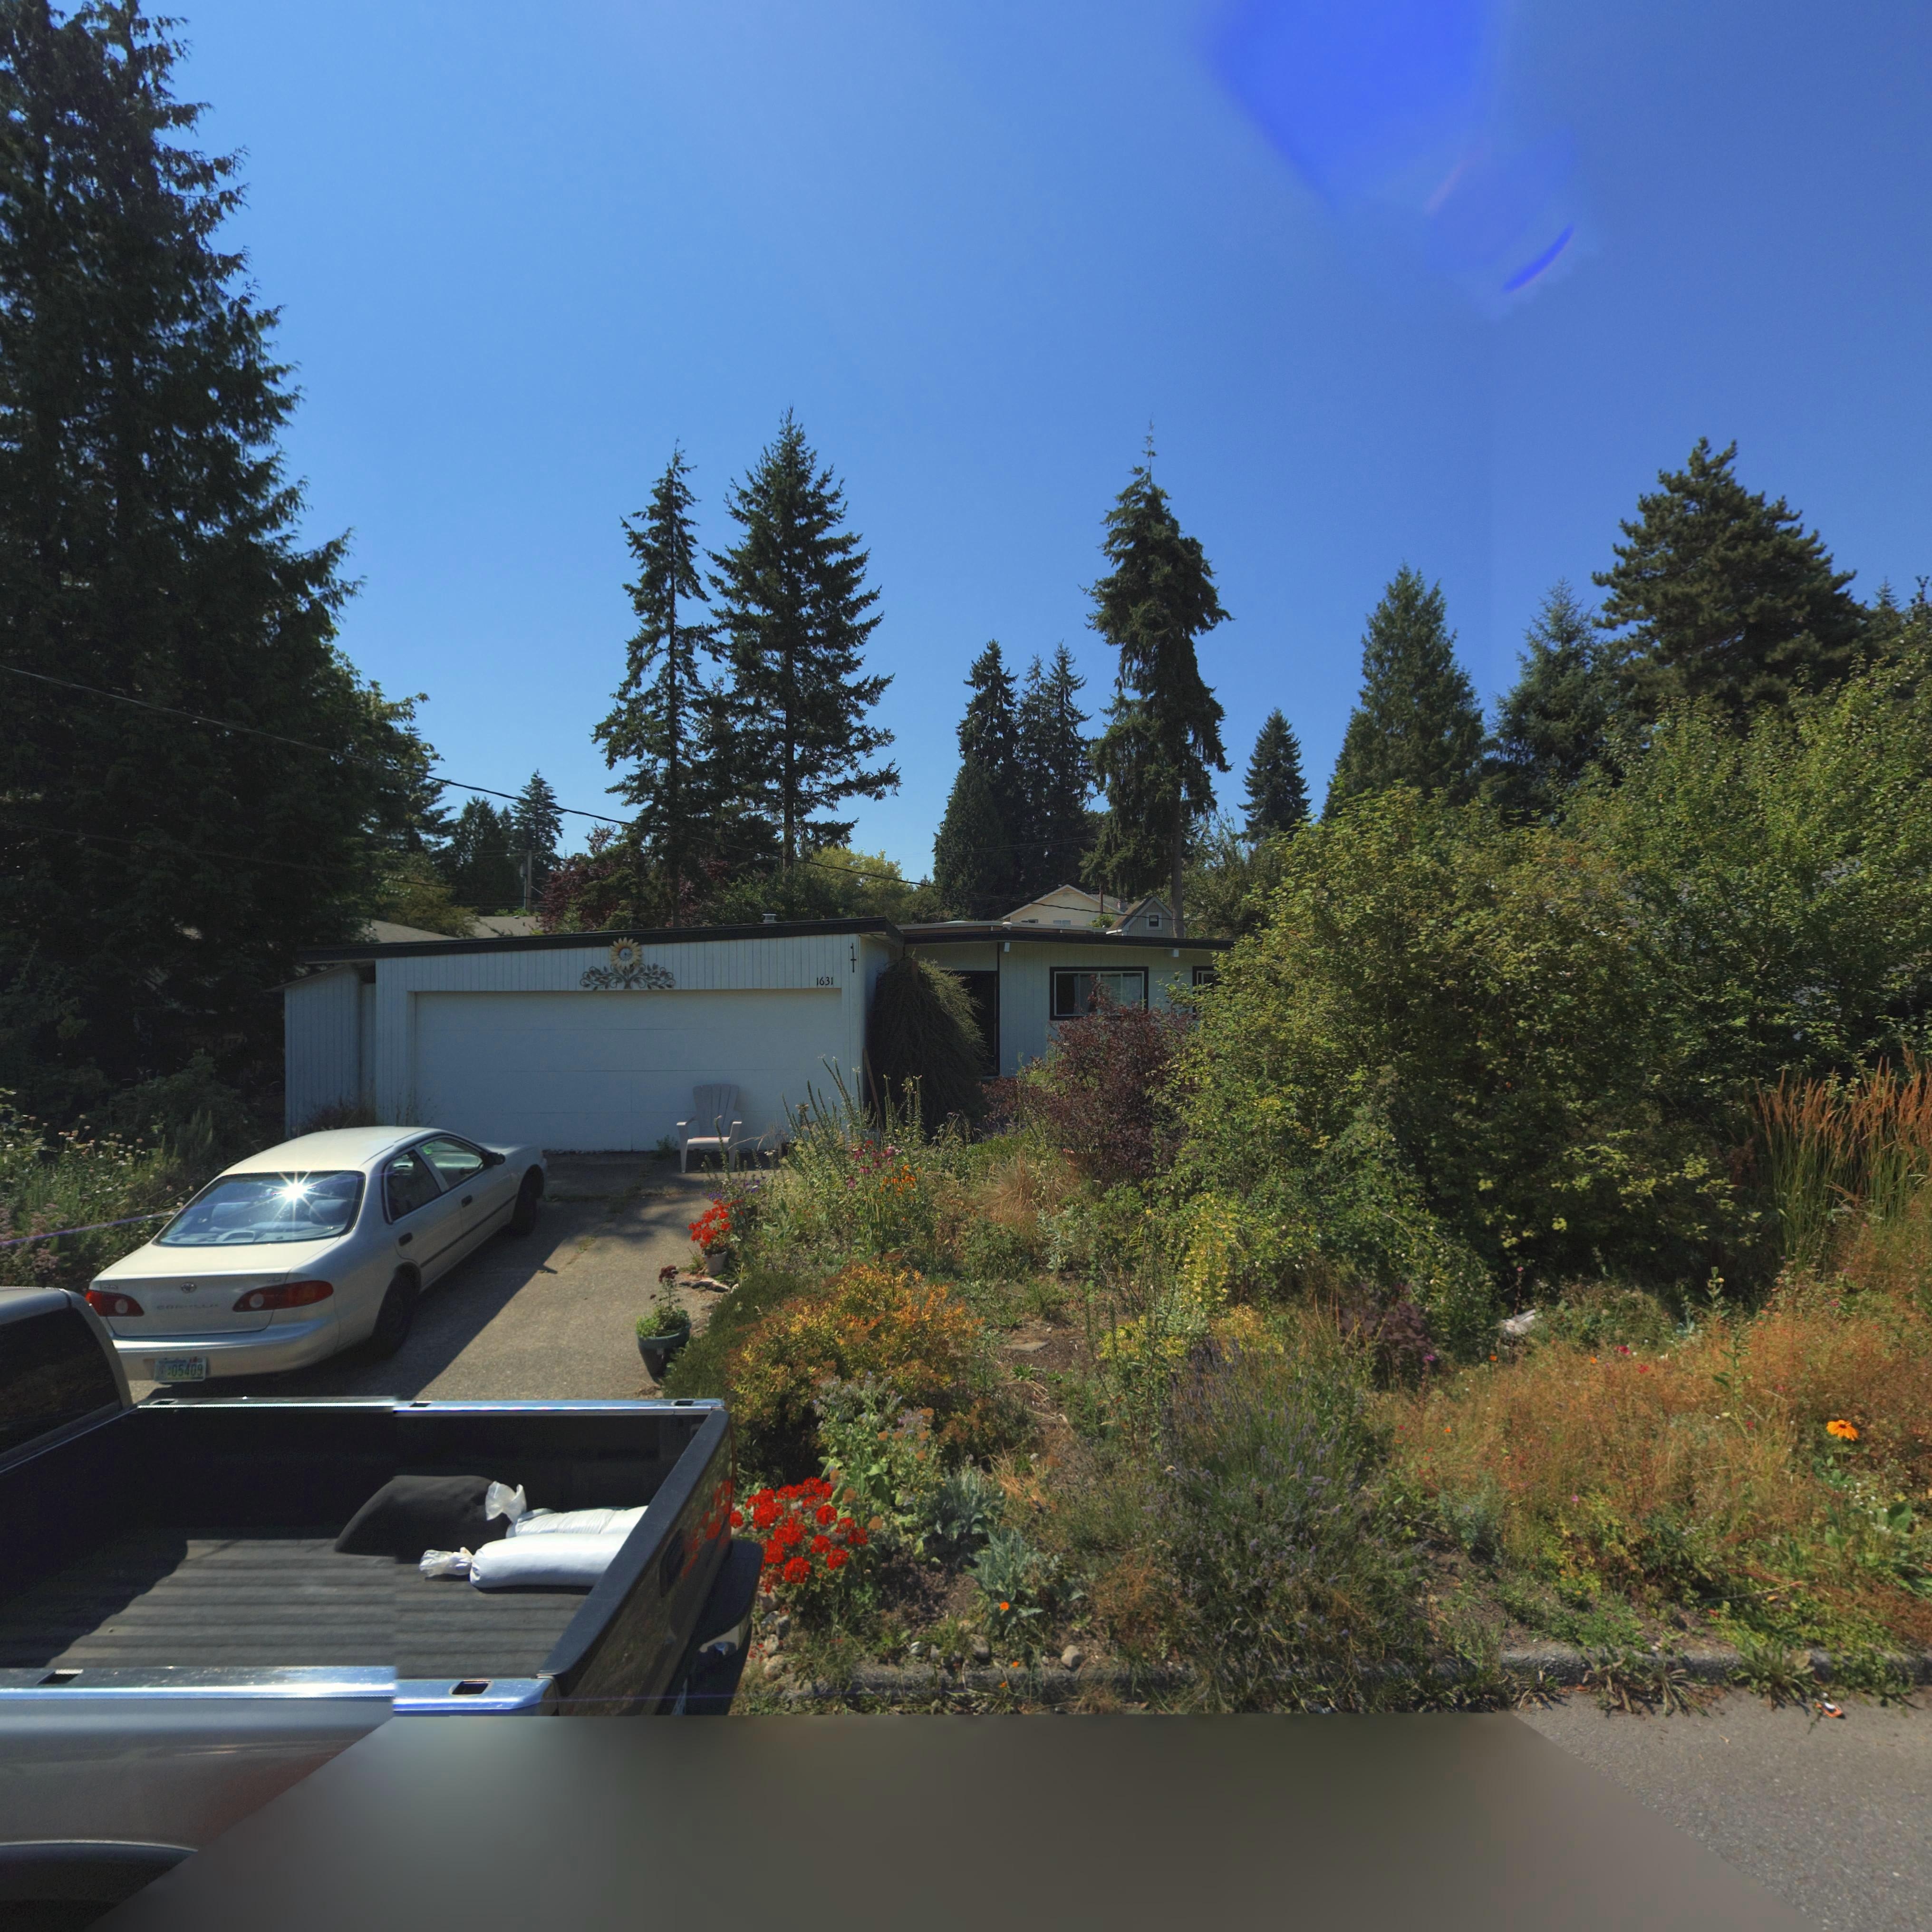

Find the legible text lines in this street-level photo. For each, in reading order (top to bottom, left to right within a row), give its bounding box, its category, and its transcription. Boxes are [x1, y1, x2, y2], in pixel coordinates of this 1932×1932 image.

[814, 974, 837, 989] StreetNumber: 1631